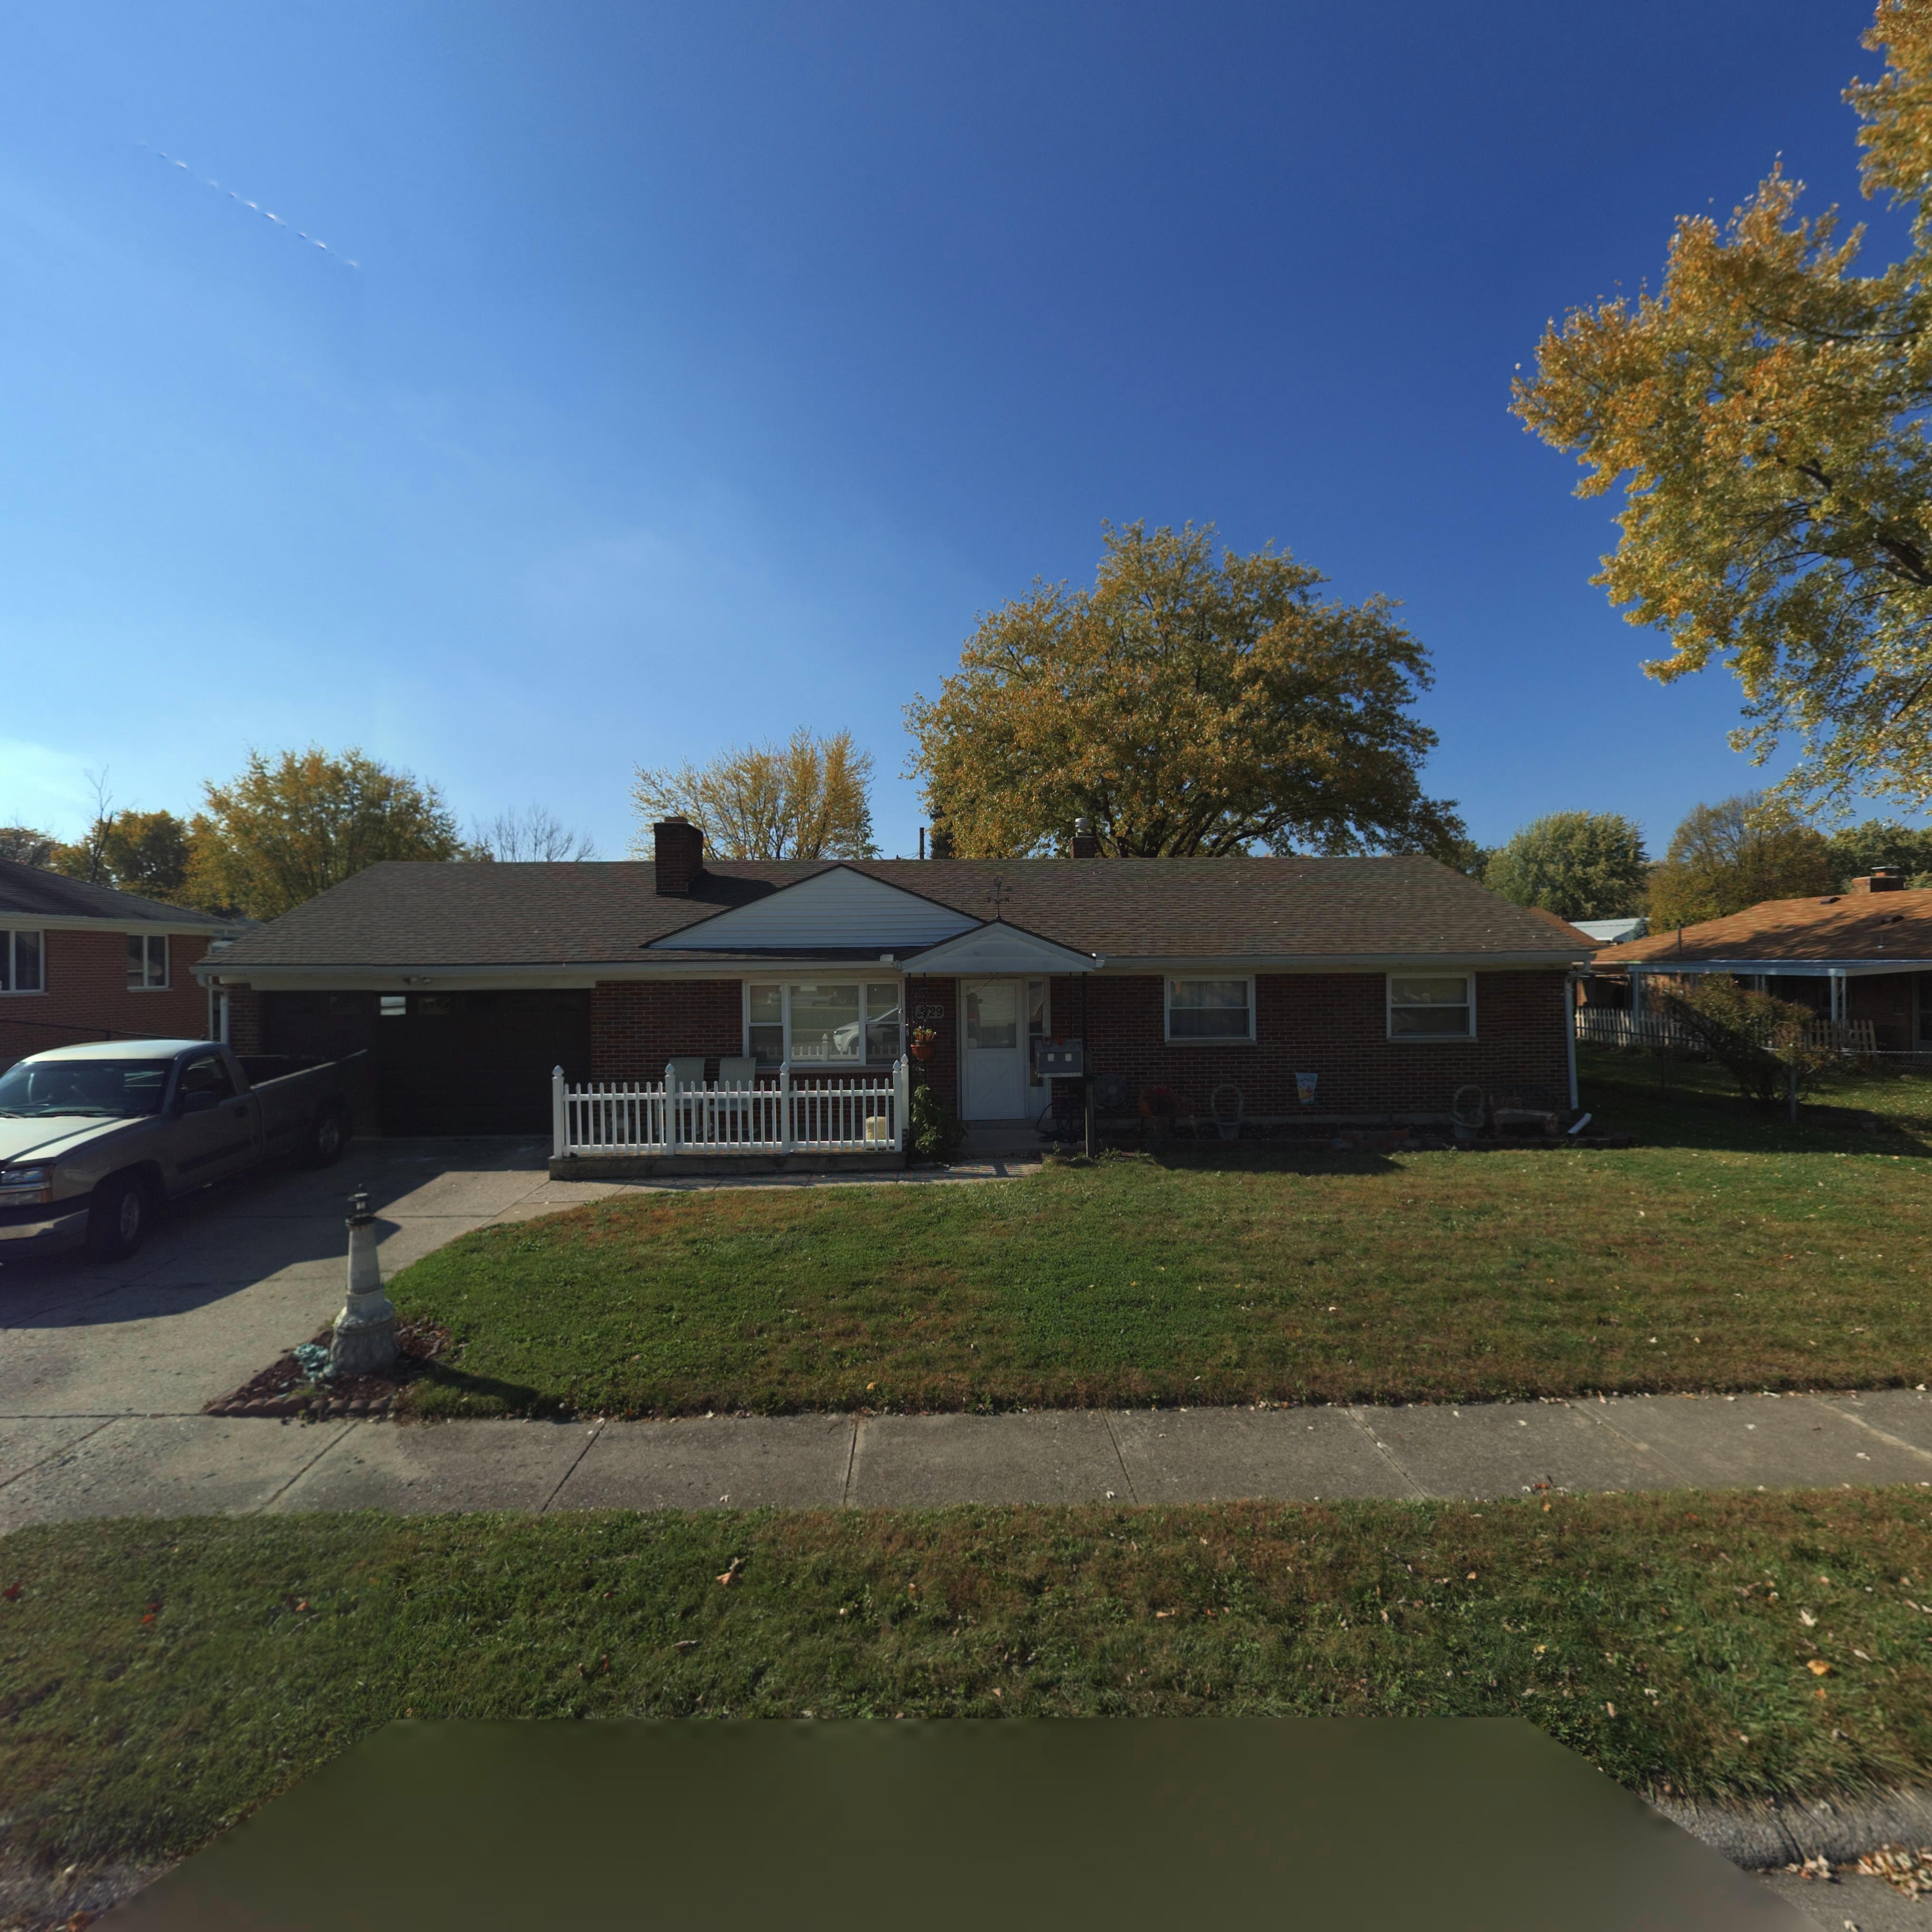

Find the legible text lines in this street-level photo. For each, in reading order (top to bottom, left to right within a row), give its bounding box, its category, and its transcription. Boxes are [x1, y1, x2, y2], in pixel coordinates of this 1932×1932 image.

[928, 1005, 944, 1017] StreetNumber: 29